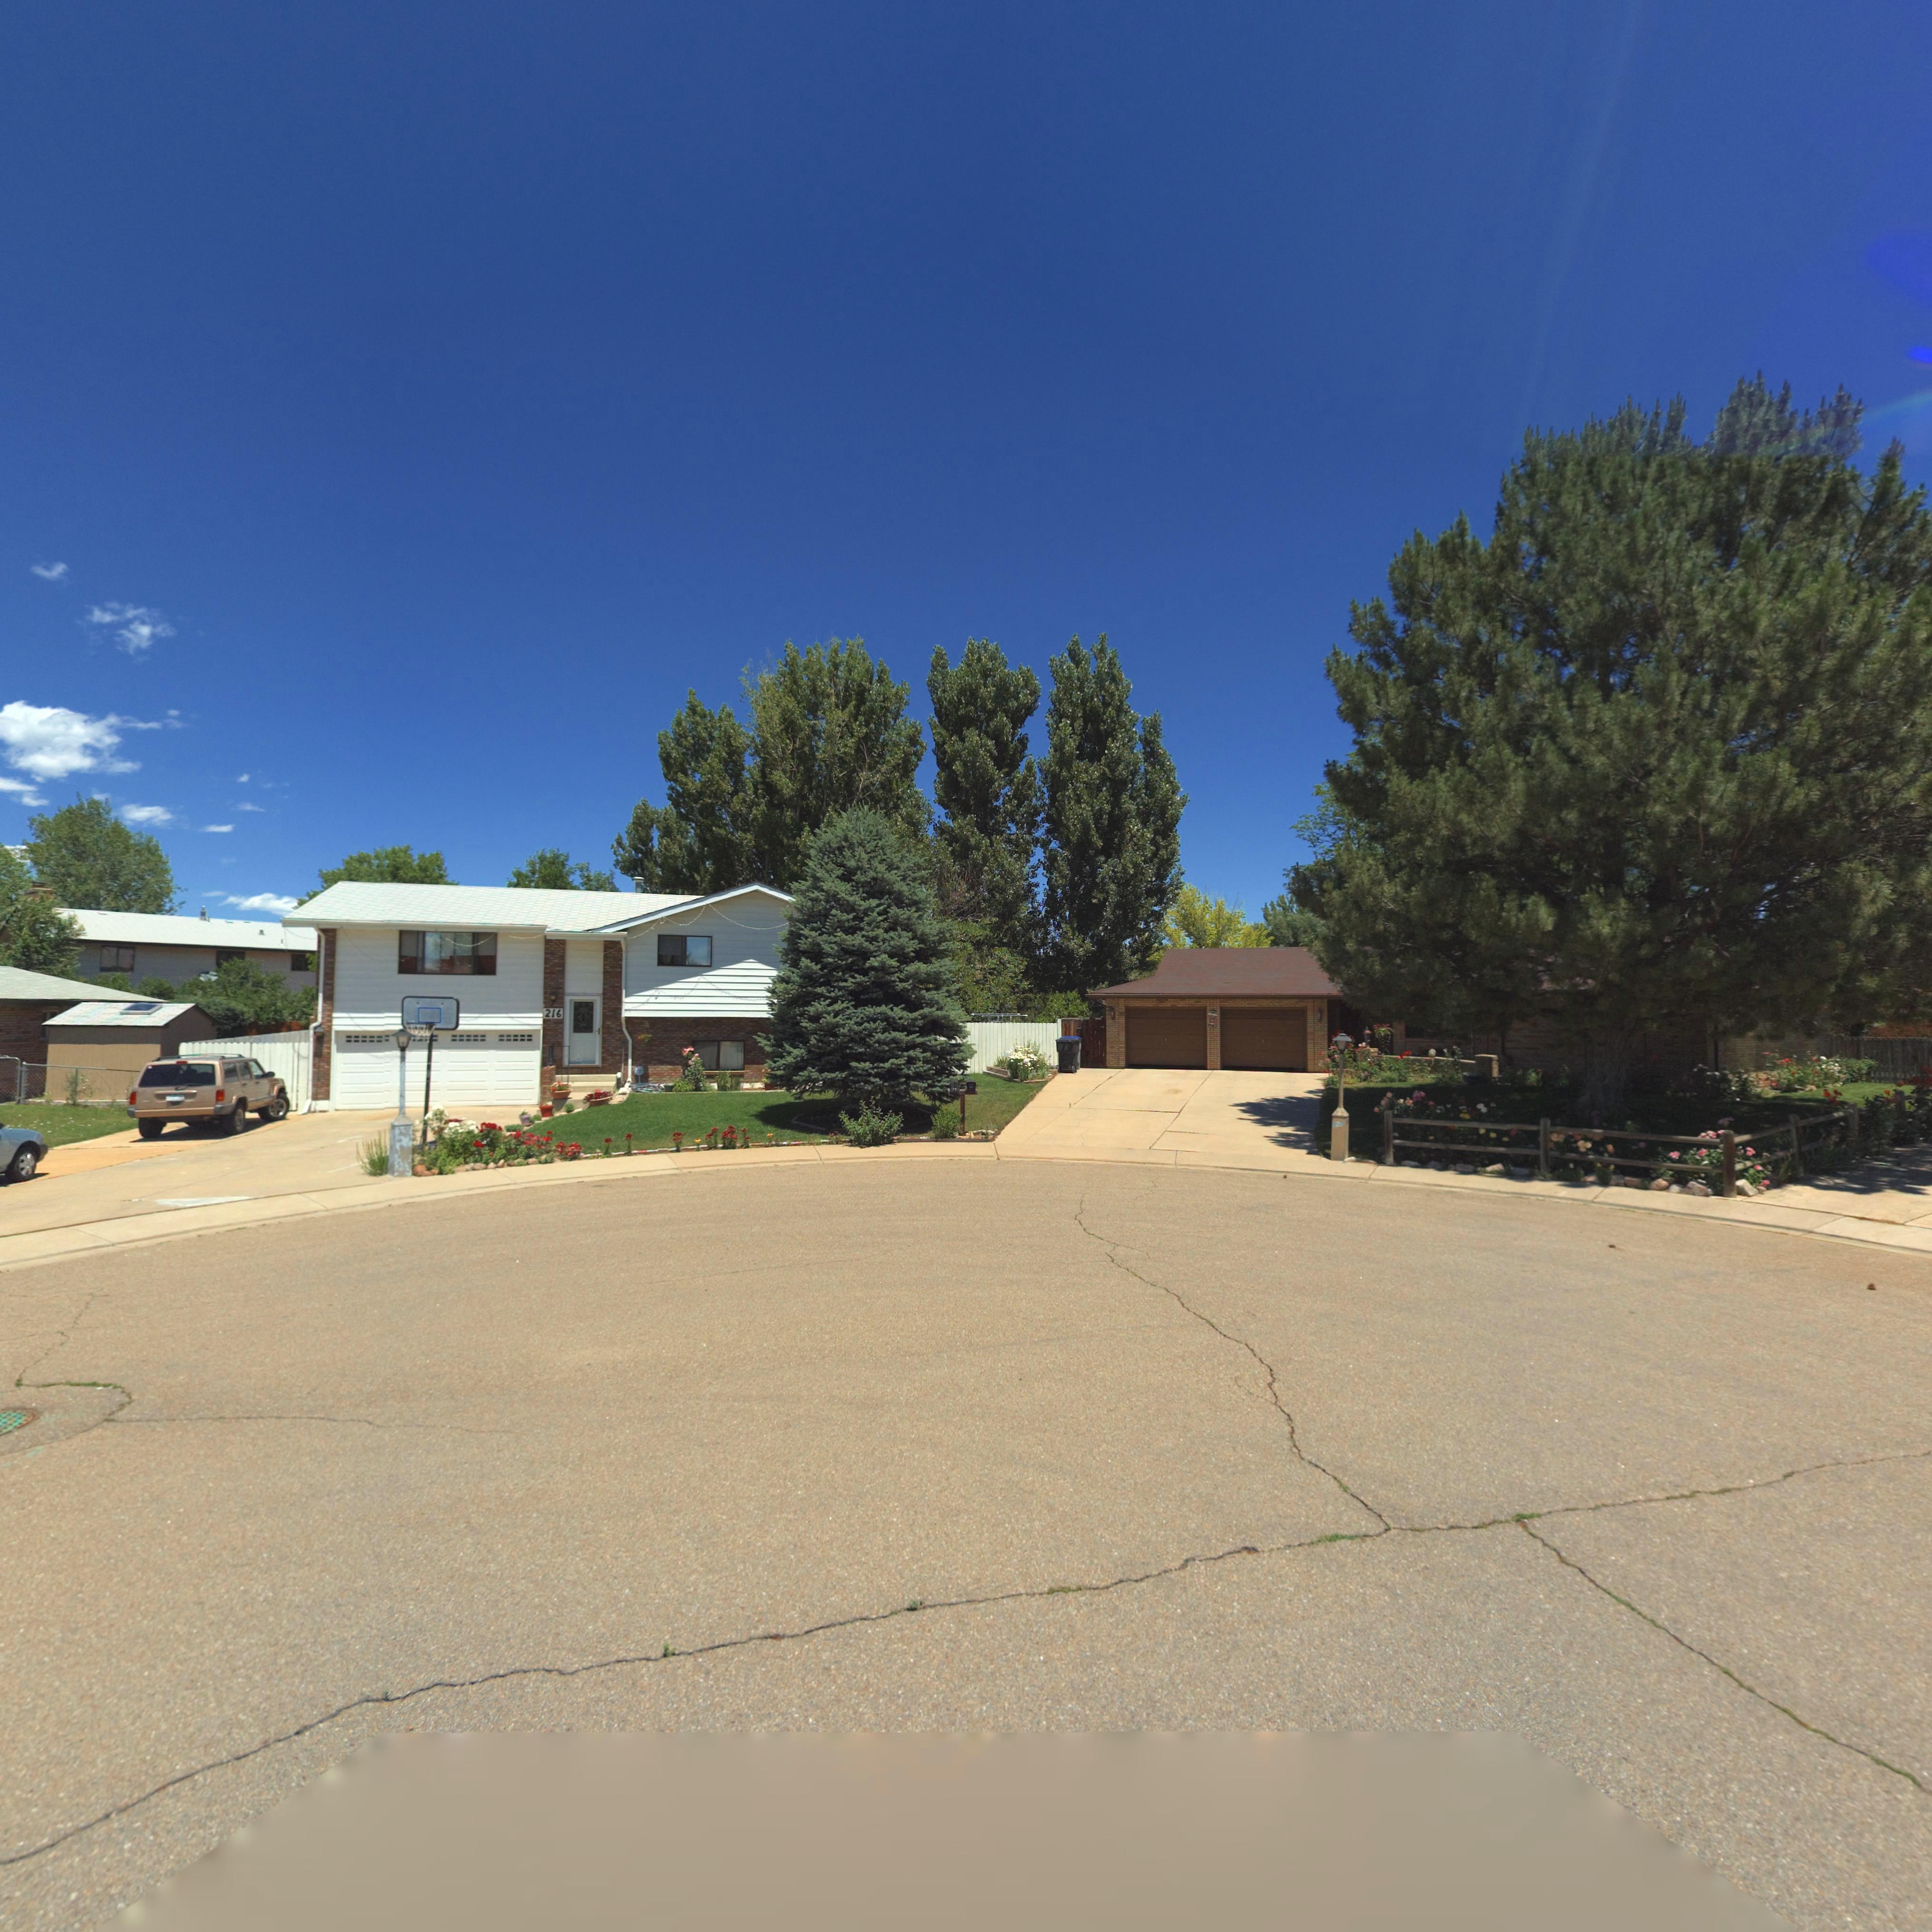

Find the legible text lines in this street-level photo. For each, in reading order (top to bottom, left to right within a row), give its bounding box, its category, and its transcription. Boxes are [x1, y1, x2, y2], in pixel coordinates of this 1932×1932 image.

[545, 1008, 561, 1017] StreetNumber: 216